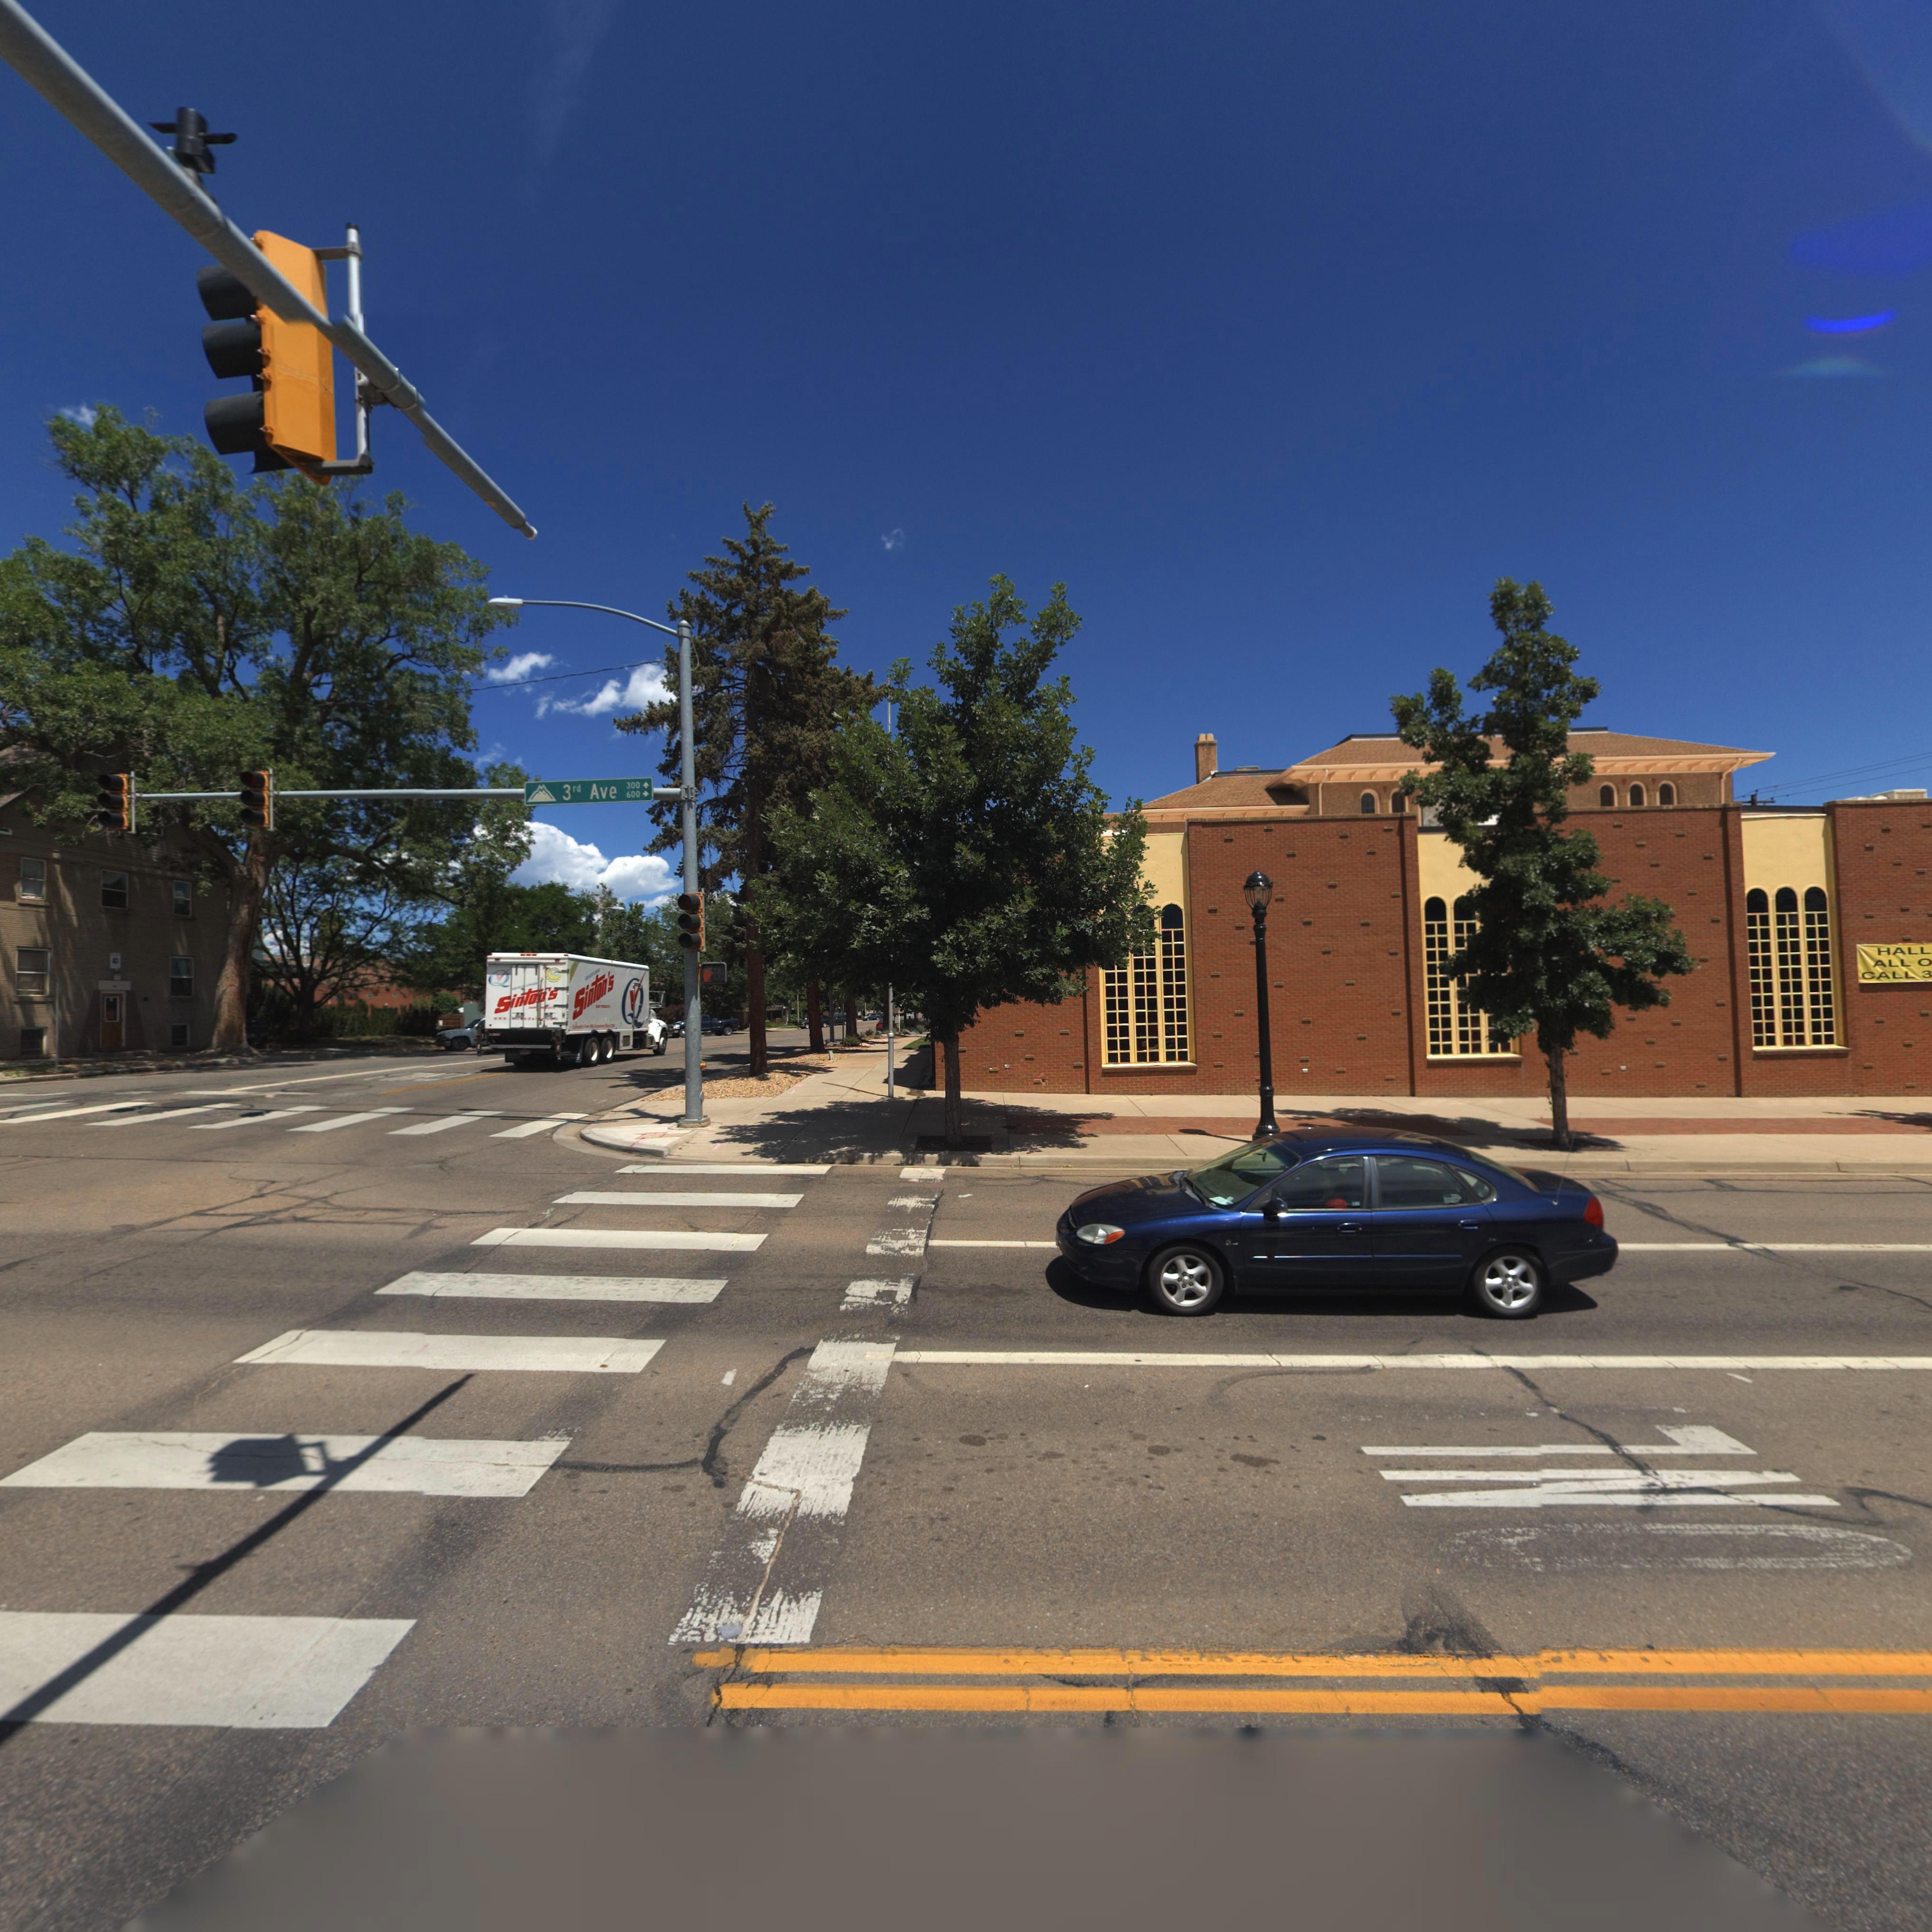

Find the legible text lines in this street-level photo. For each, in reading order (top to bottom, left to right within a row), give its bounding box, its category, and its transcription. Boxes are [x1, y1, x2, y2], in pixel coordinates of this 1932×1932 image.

[626, 781, 640, 789] StreetNumberRange: 300
[562, 783, 617, 800] StreetName: 3rd Ave
[626, 790, 649, 798] StreetNumberRange: 600->